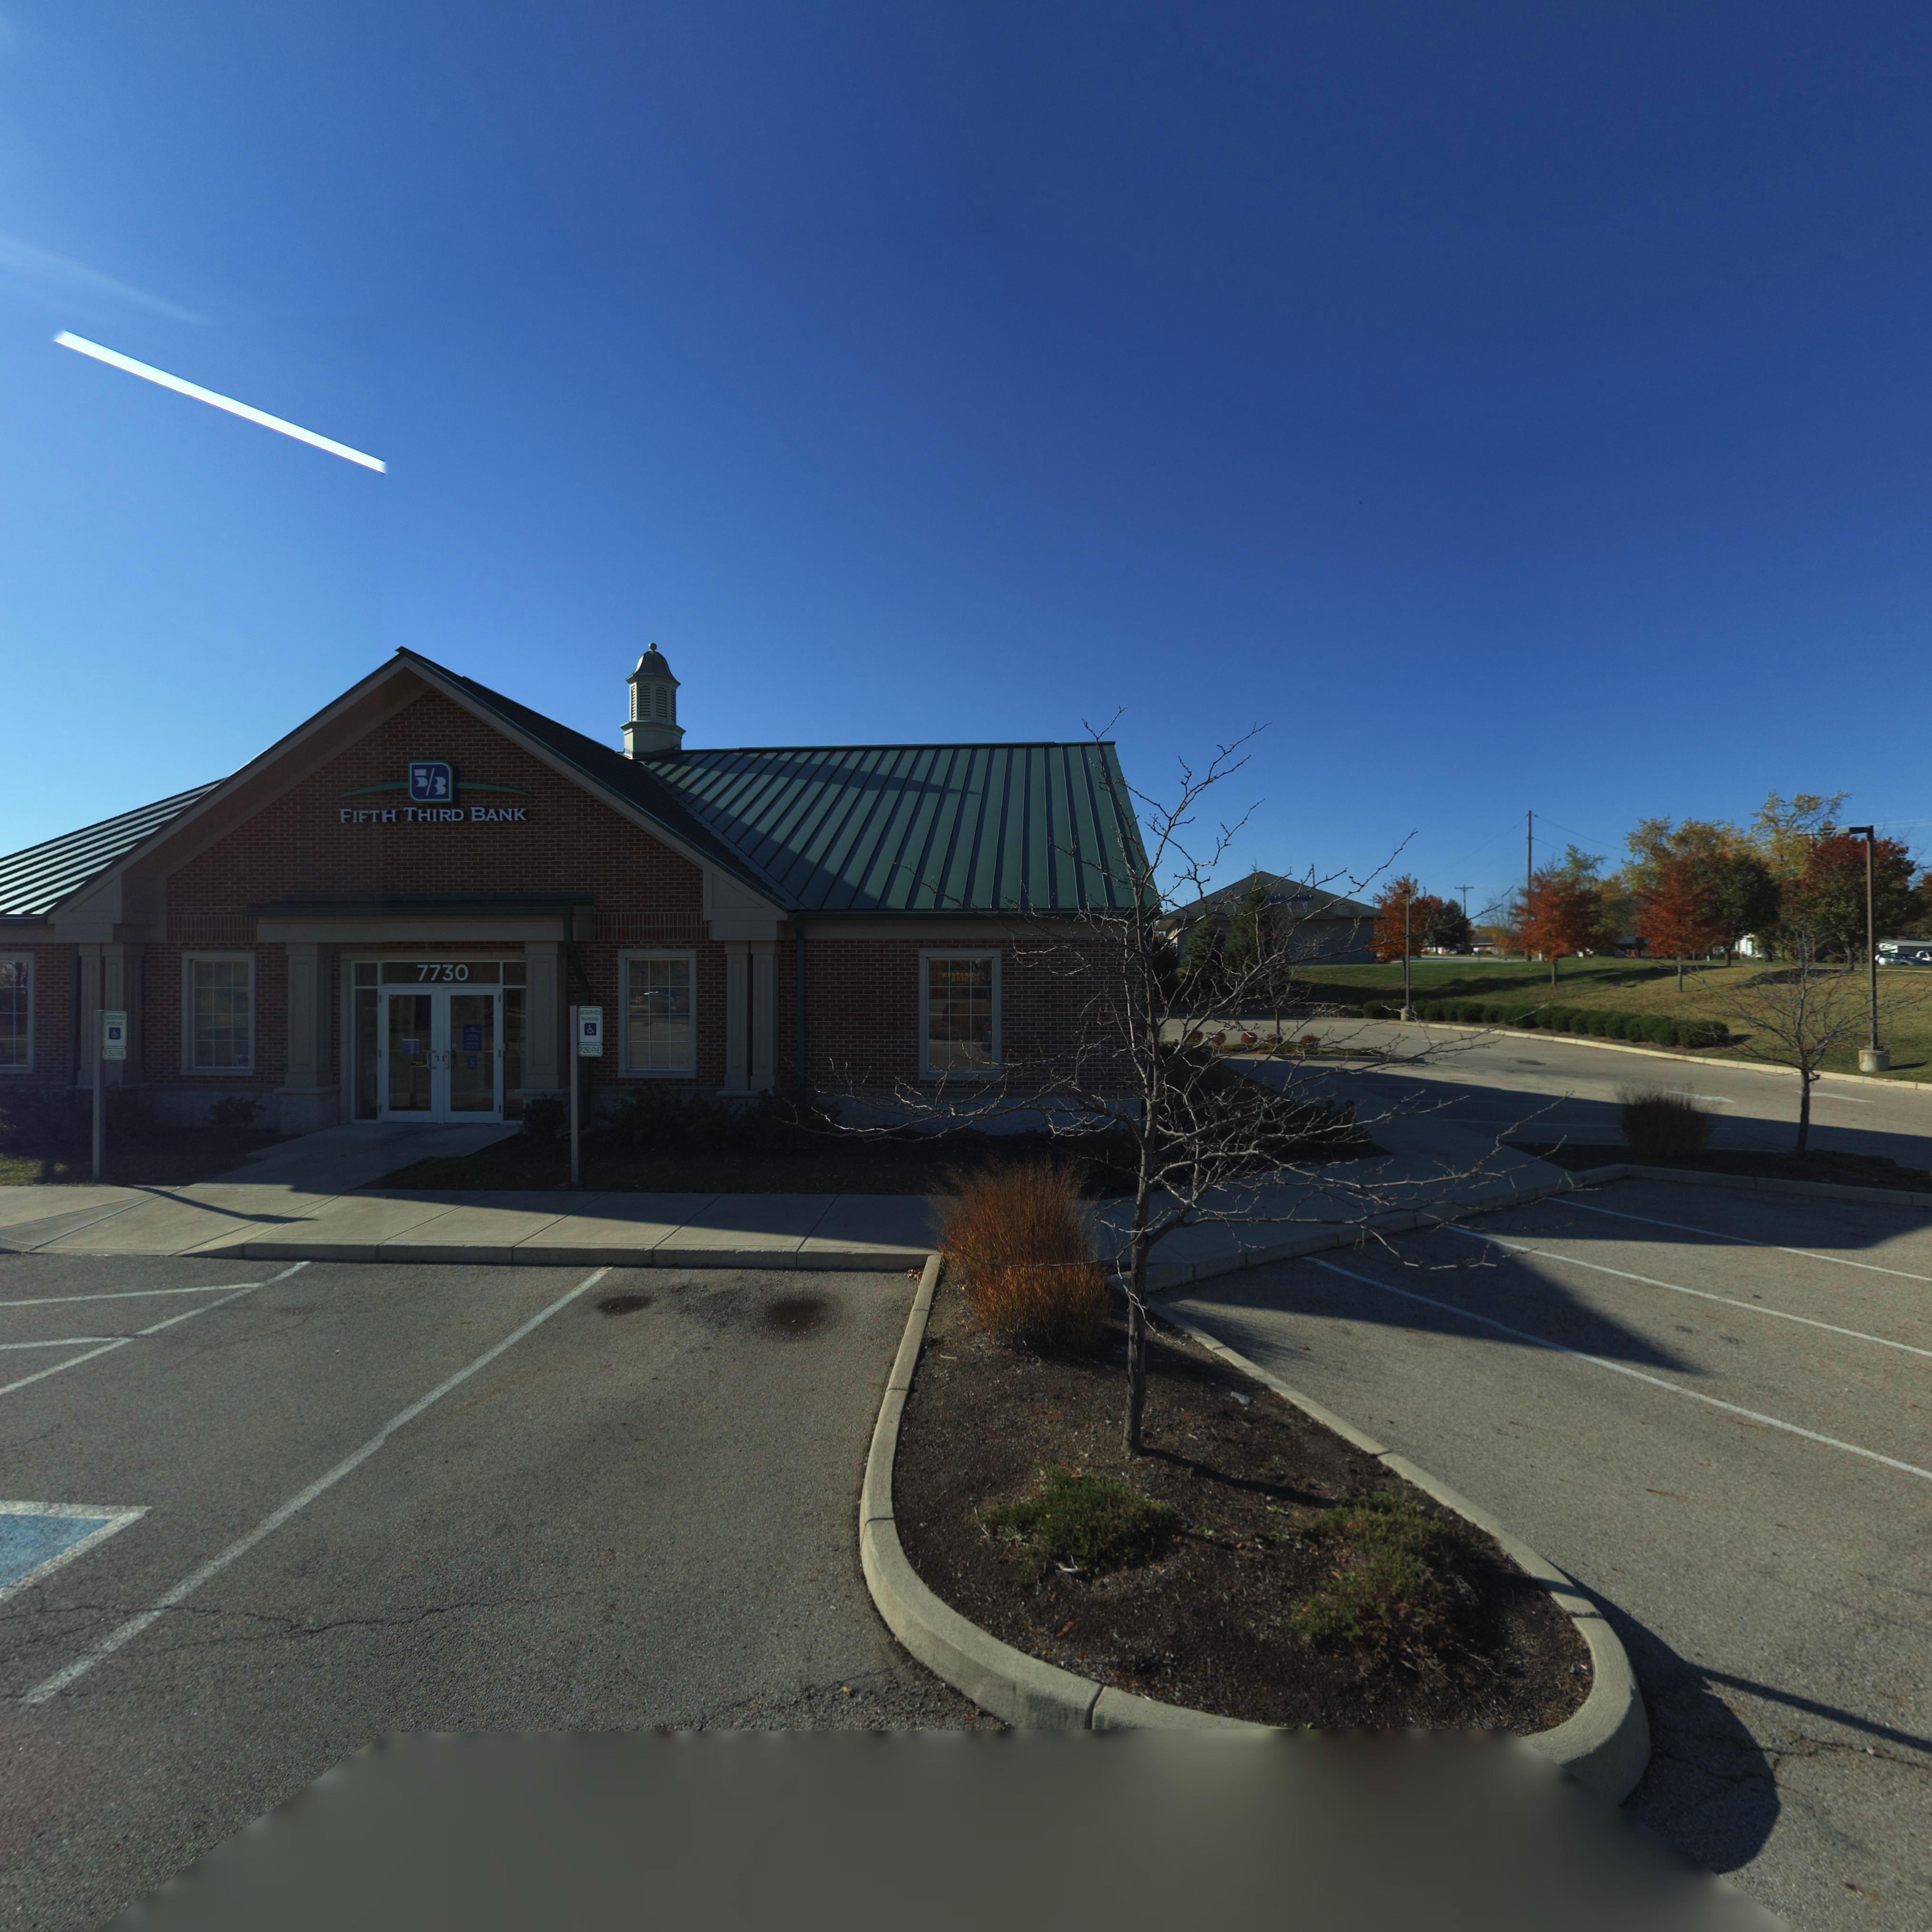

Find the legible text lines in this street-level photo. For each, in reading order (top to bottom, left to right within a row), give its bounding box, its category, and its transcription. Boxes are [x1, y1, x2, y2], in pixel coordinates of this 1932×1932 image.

[337, 806, 529, 825] BusinessName: FIFTH THIRD BANK
[415, 963, 470, 983] StreetNumber: 7730